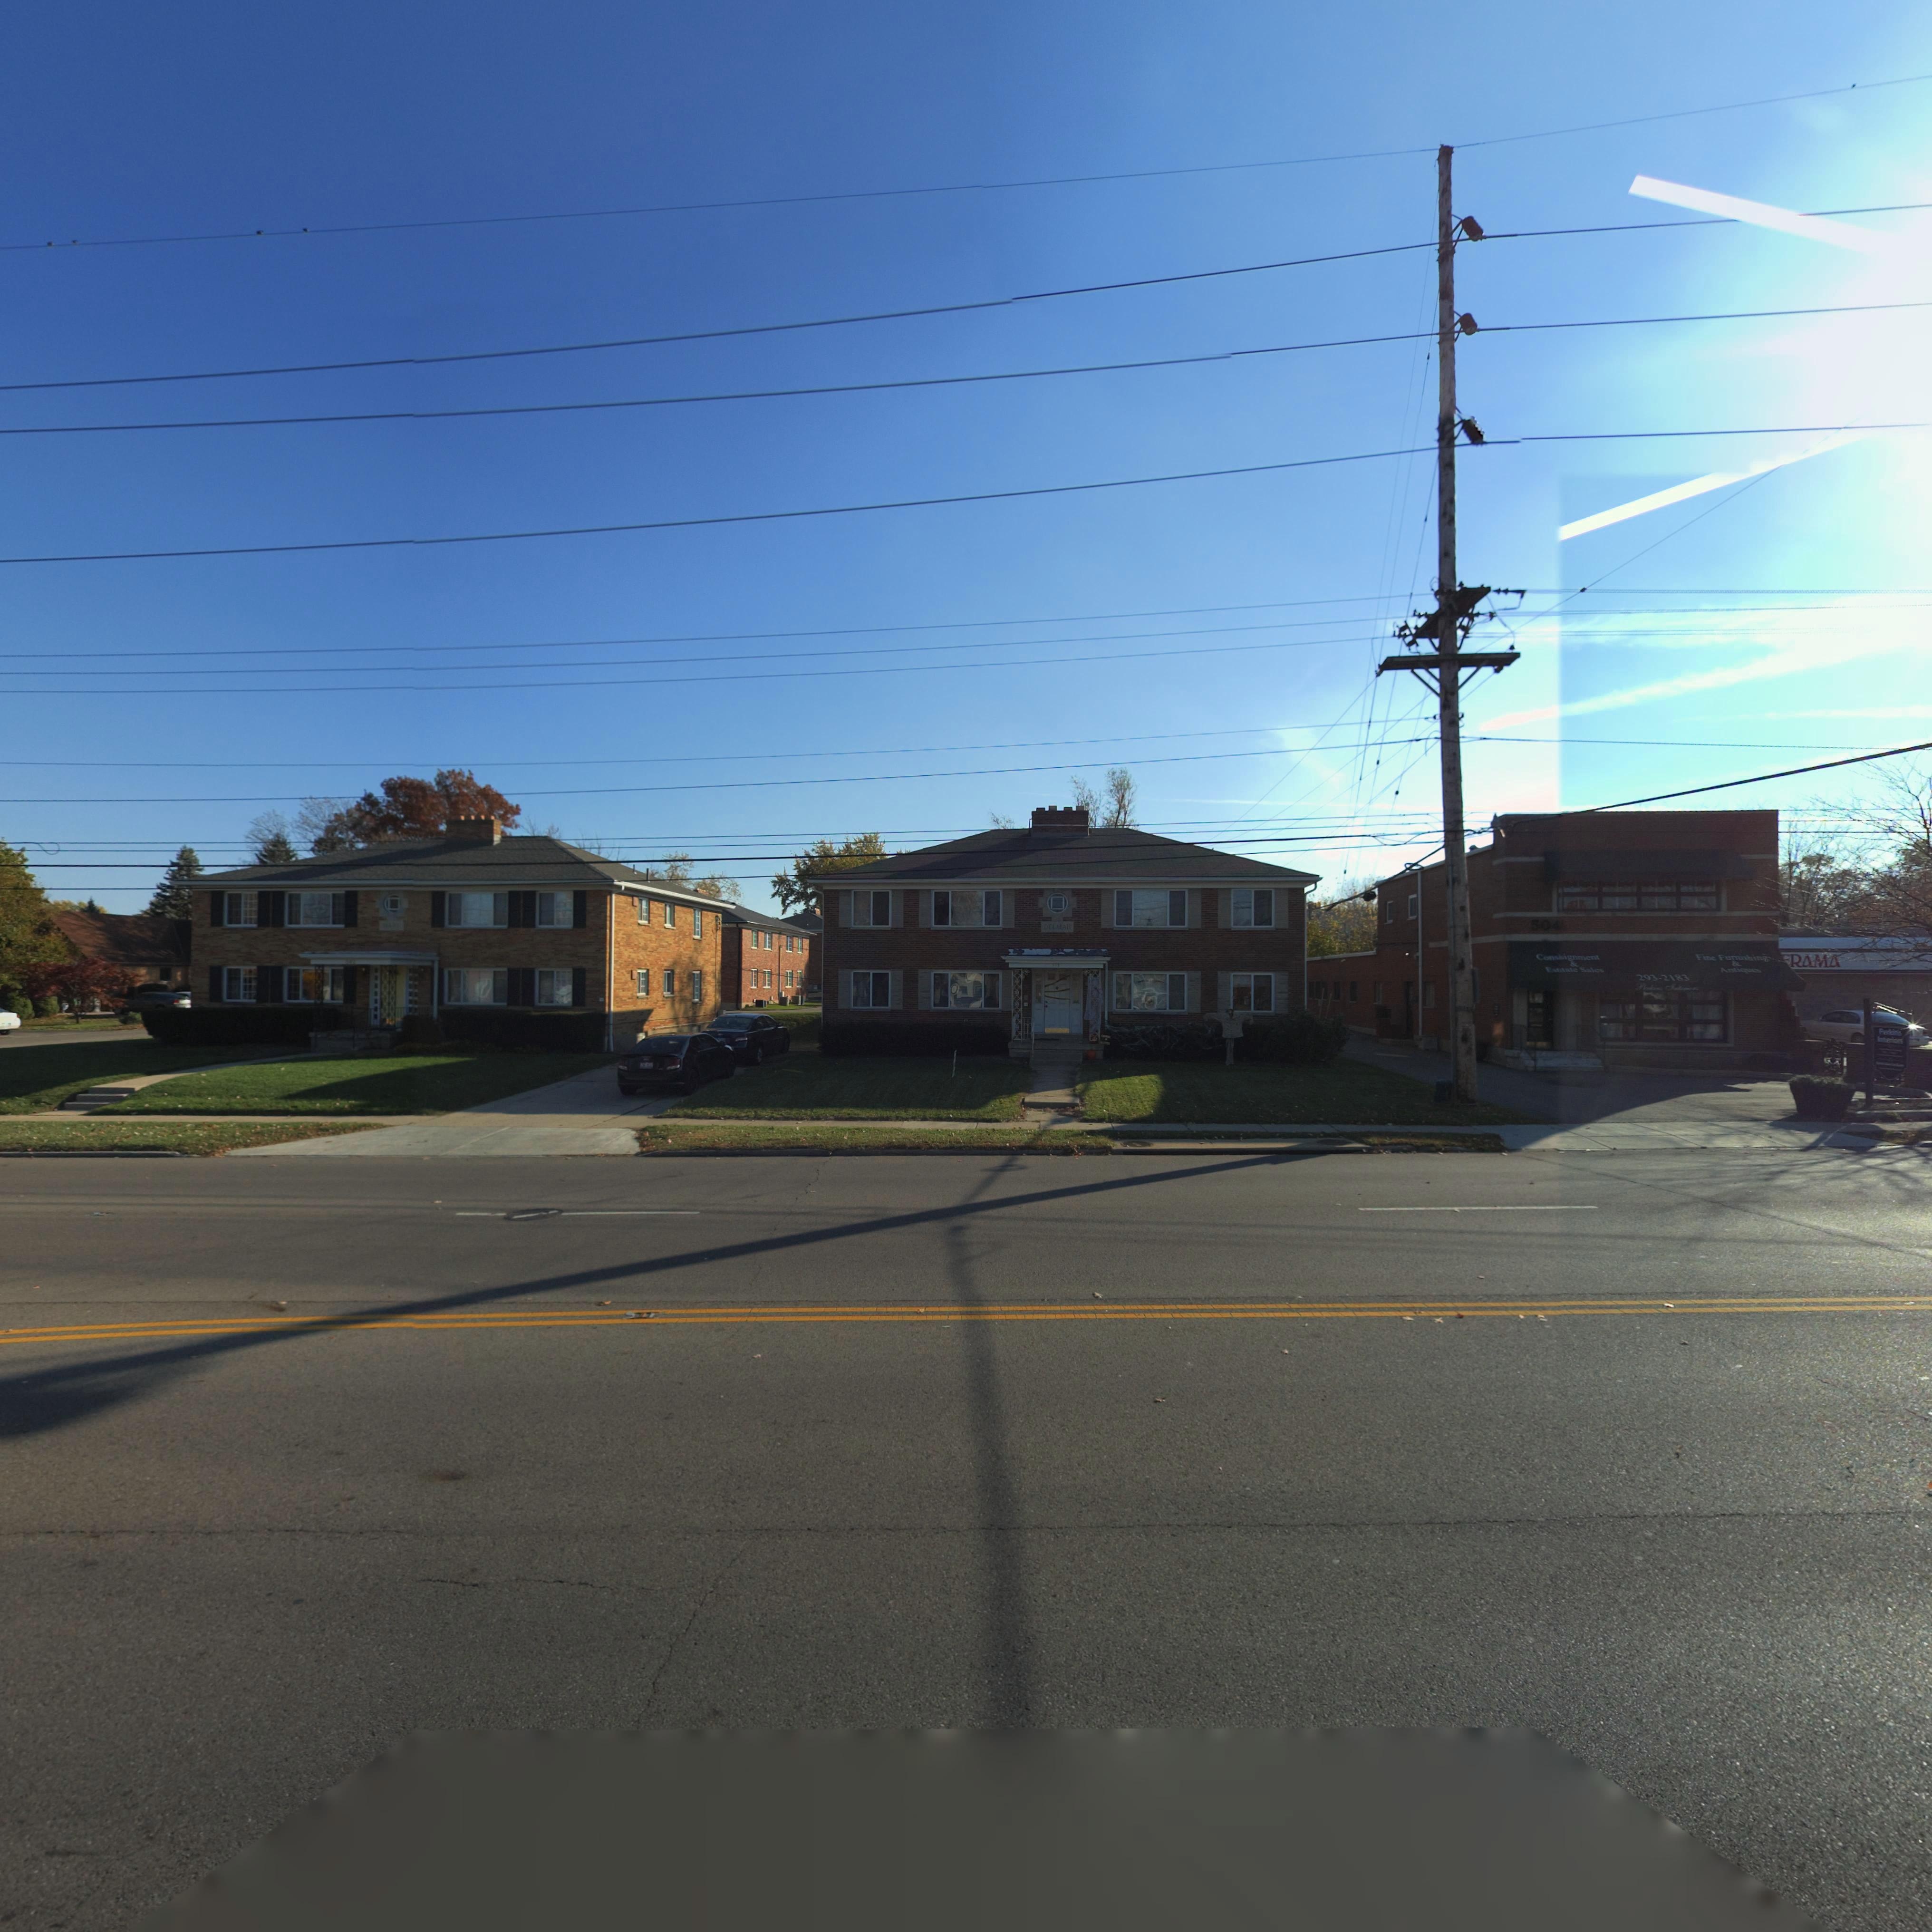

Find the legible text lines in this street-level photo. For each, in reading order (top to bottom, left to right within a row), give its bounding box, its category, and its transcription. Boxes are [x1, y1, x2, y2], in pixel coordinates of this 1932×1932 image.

[1530, 919, 1561, 931] StreetNumber: 504
[1051, 963, 1061, 968] StreetNumber: 5*8
[1789, 953, 1842, 969] BusinessName: RAMA